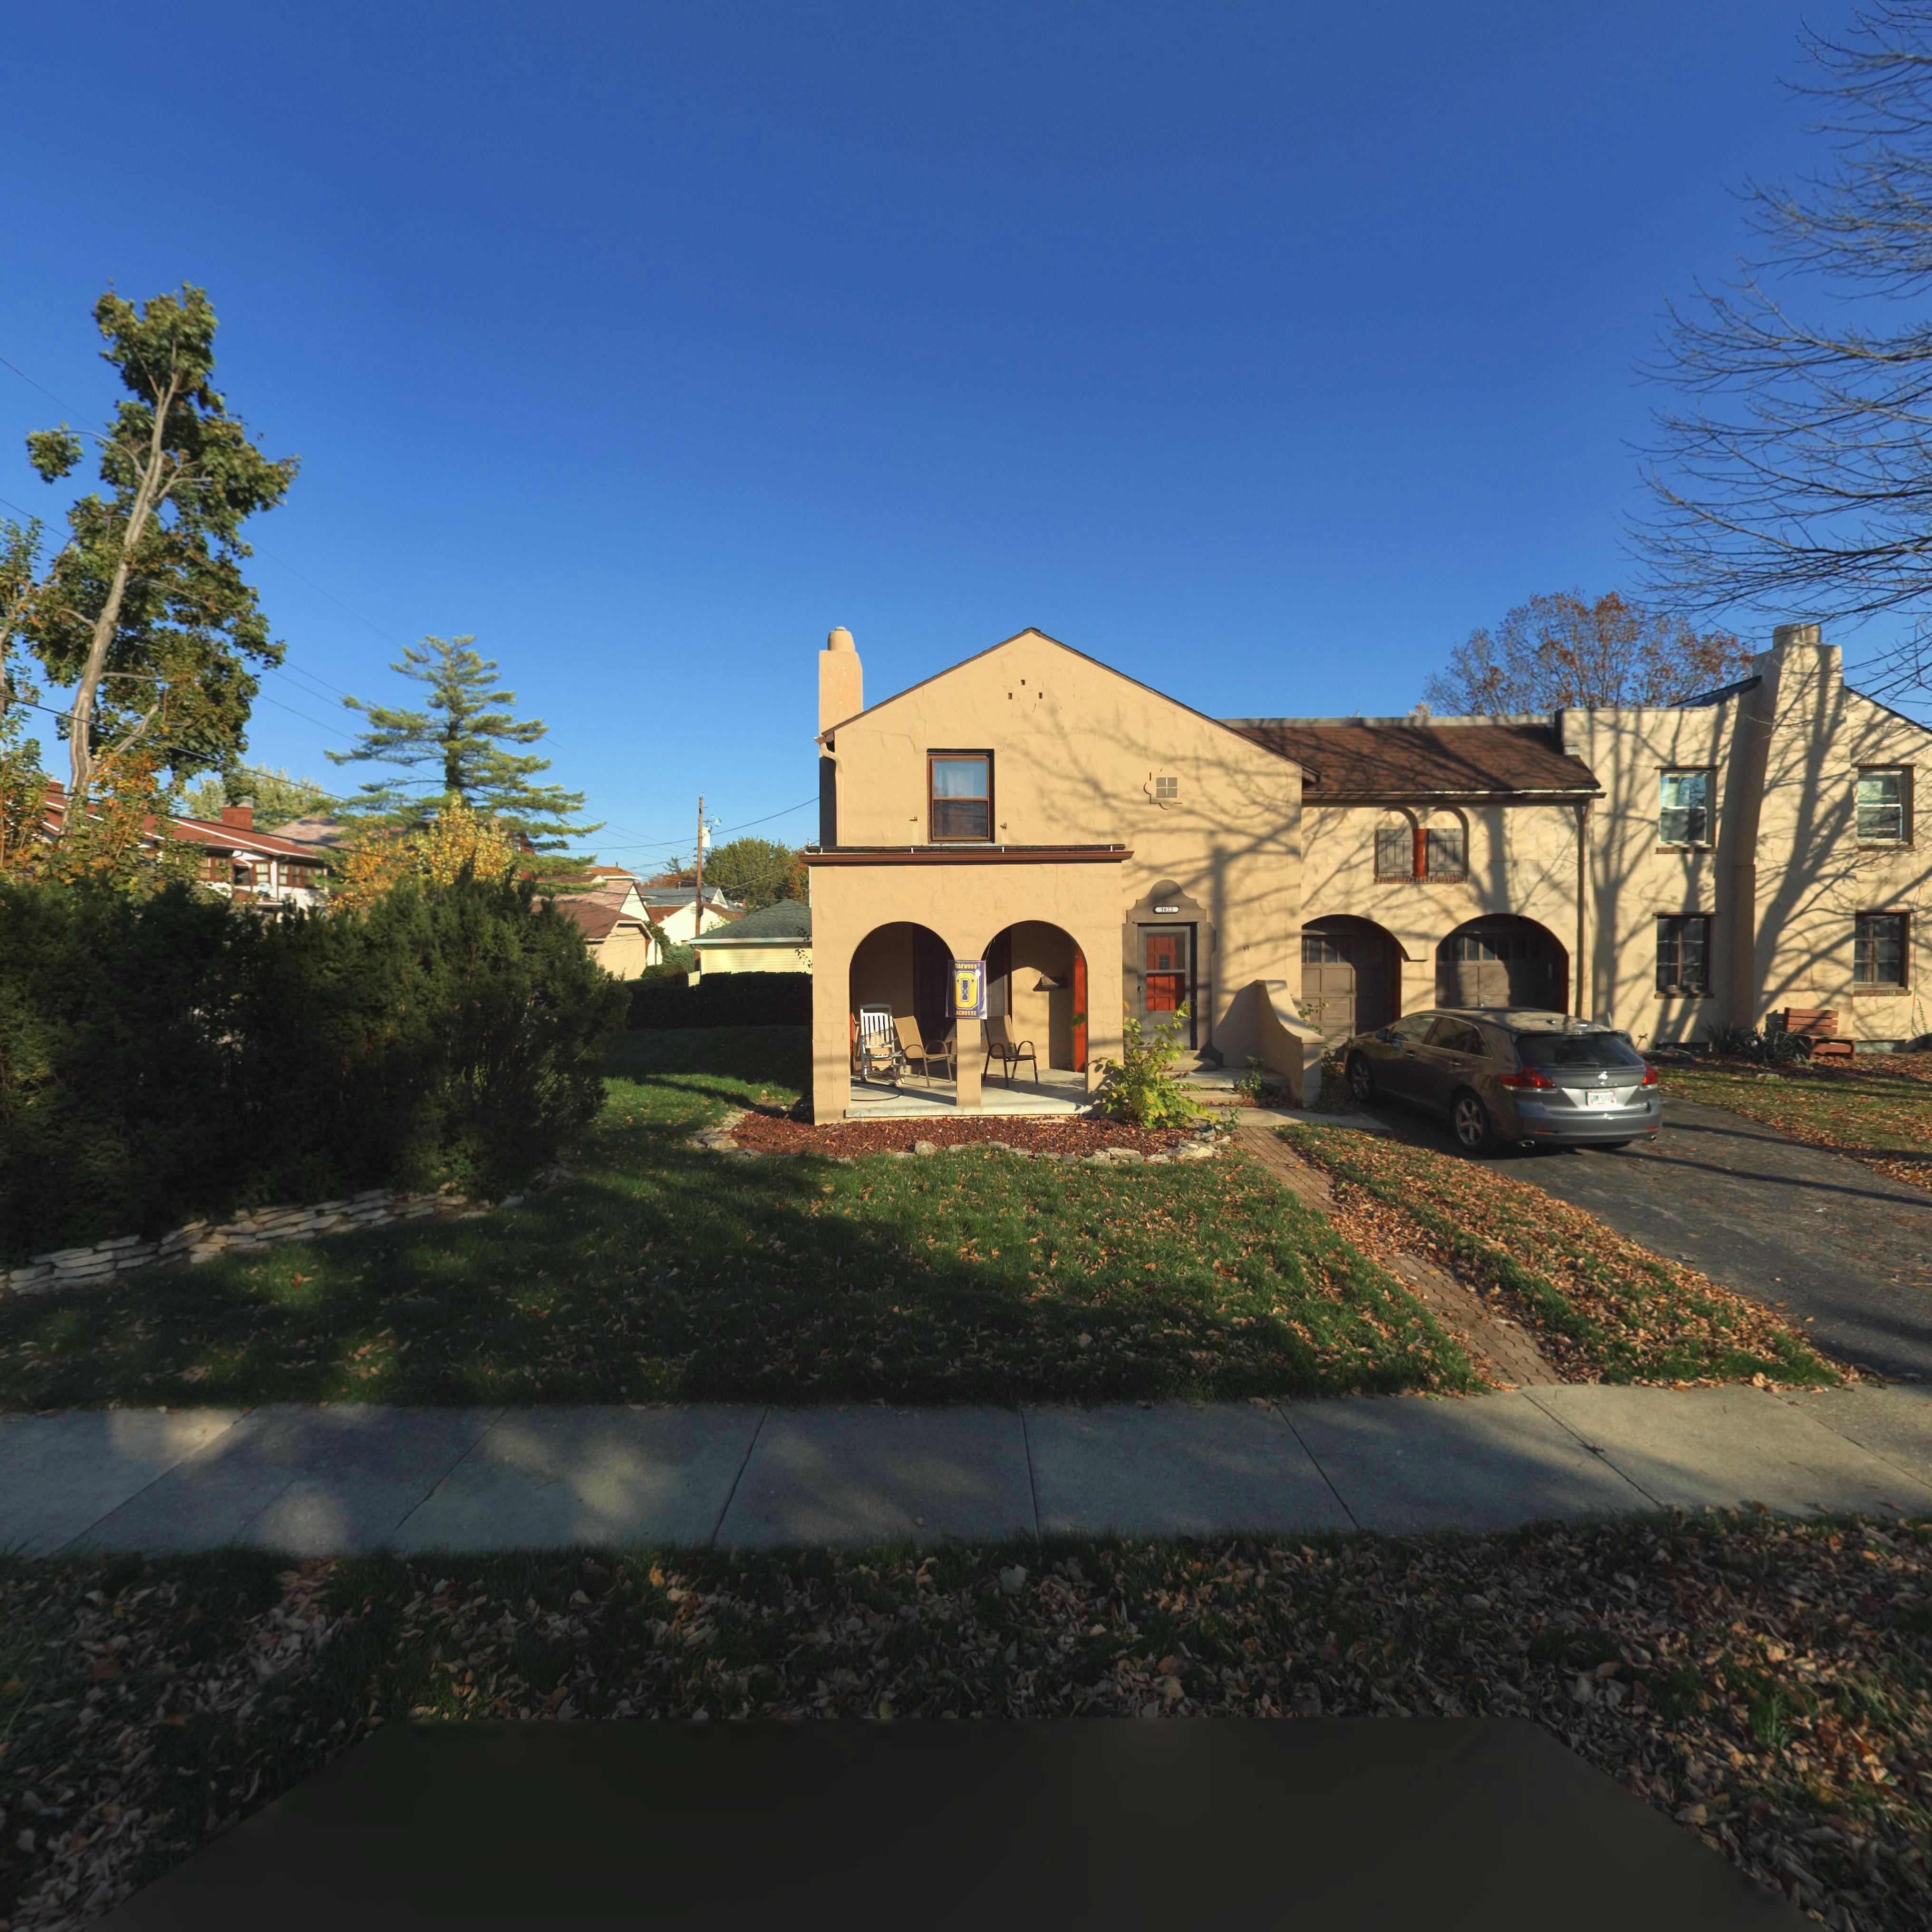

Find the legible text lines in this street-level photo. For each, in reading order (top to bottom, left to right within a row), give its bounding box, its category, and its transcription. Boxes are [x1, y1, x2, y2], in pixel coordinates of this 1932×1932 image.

[1160, 907, 1174, 912] StreetNumber: 16**